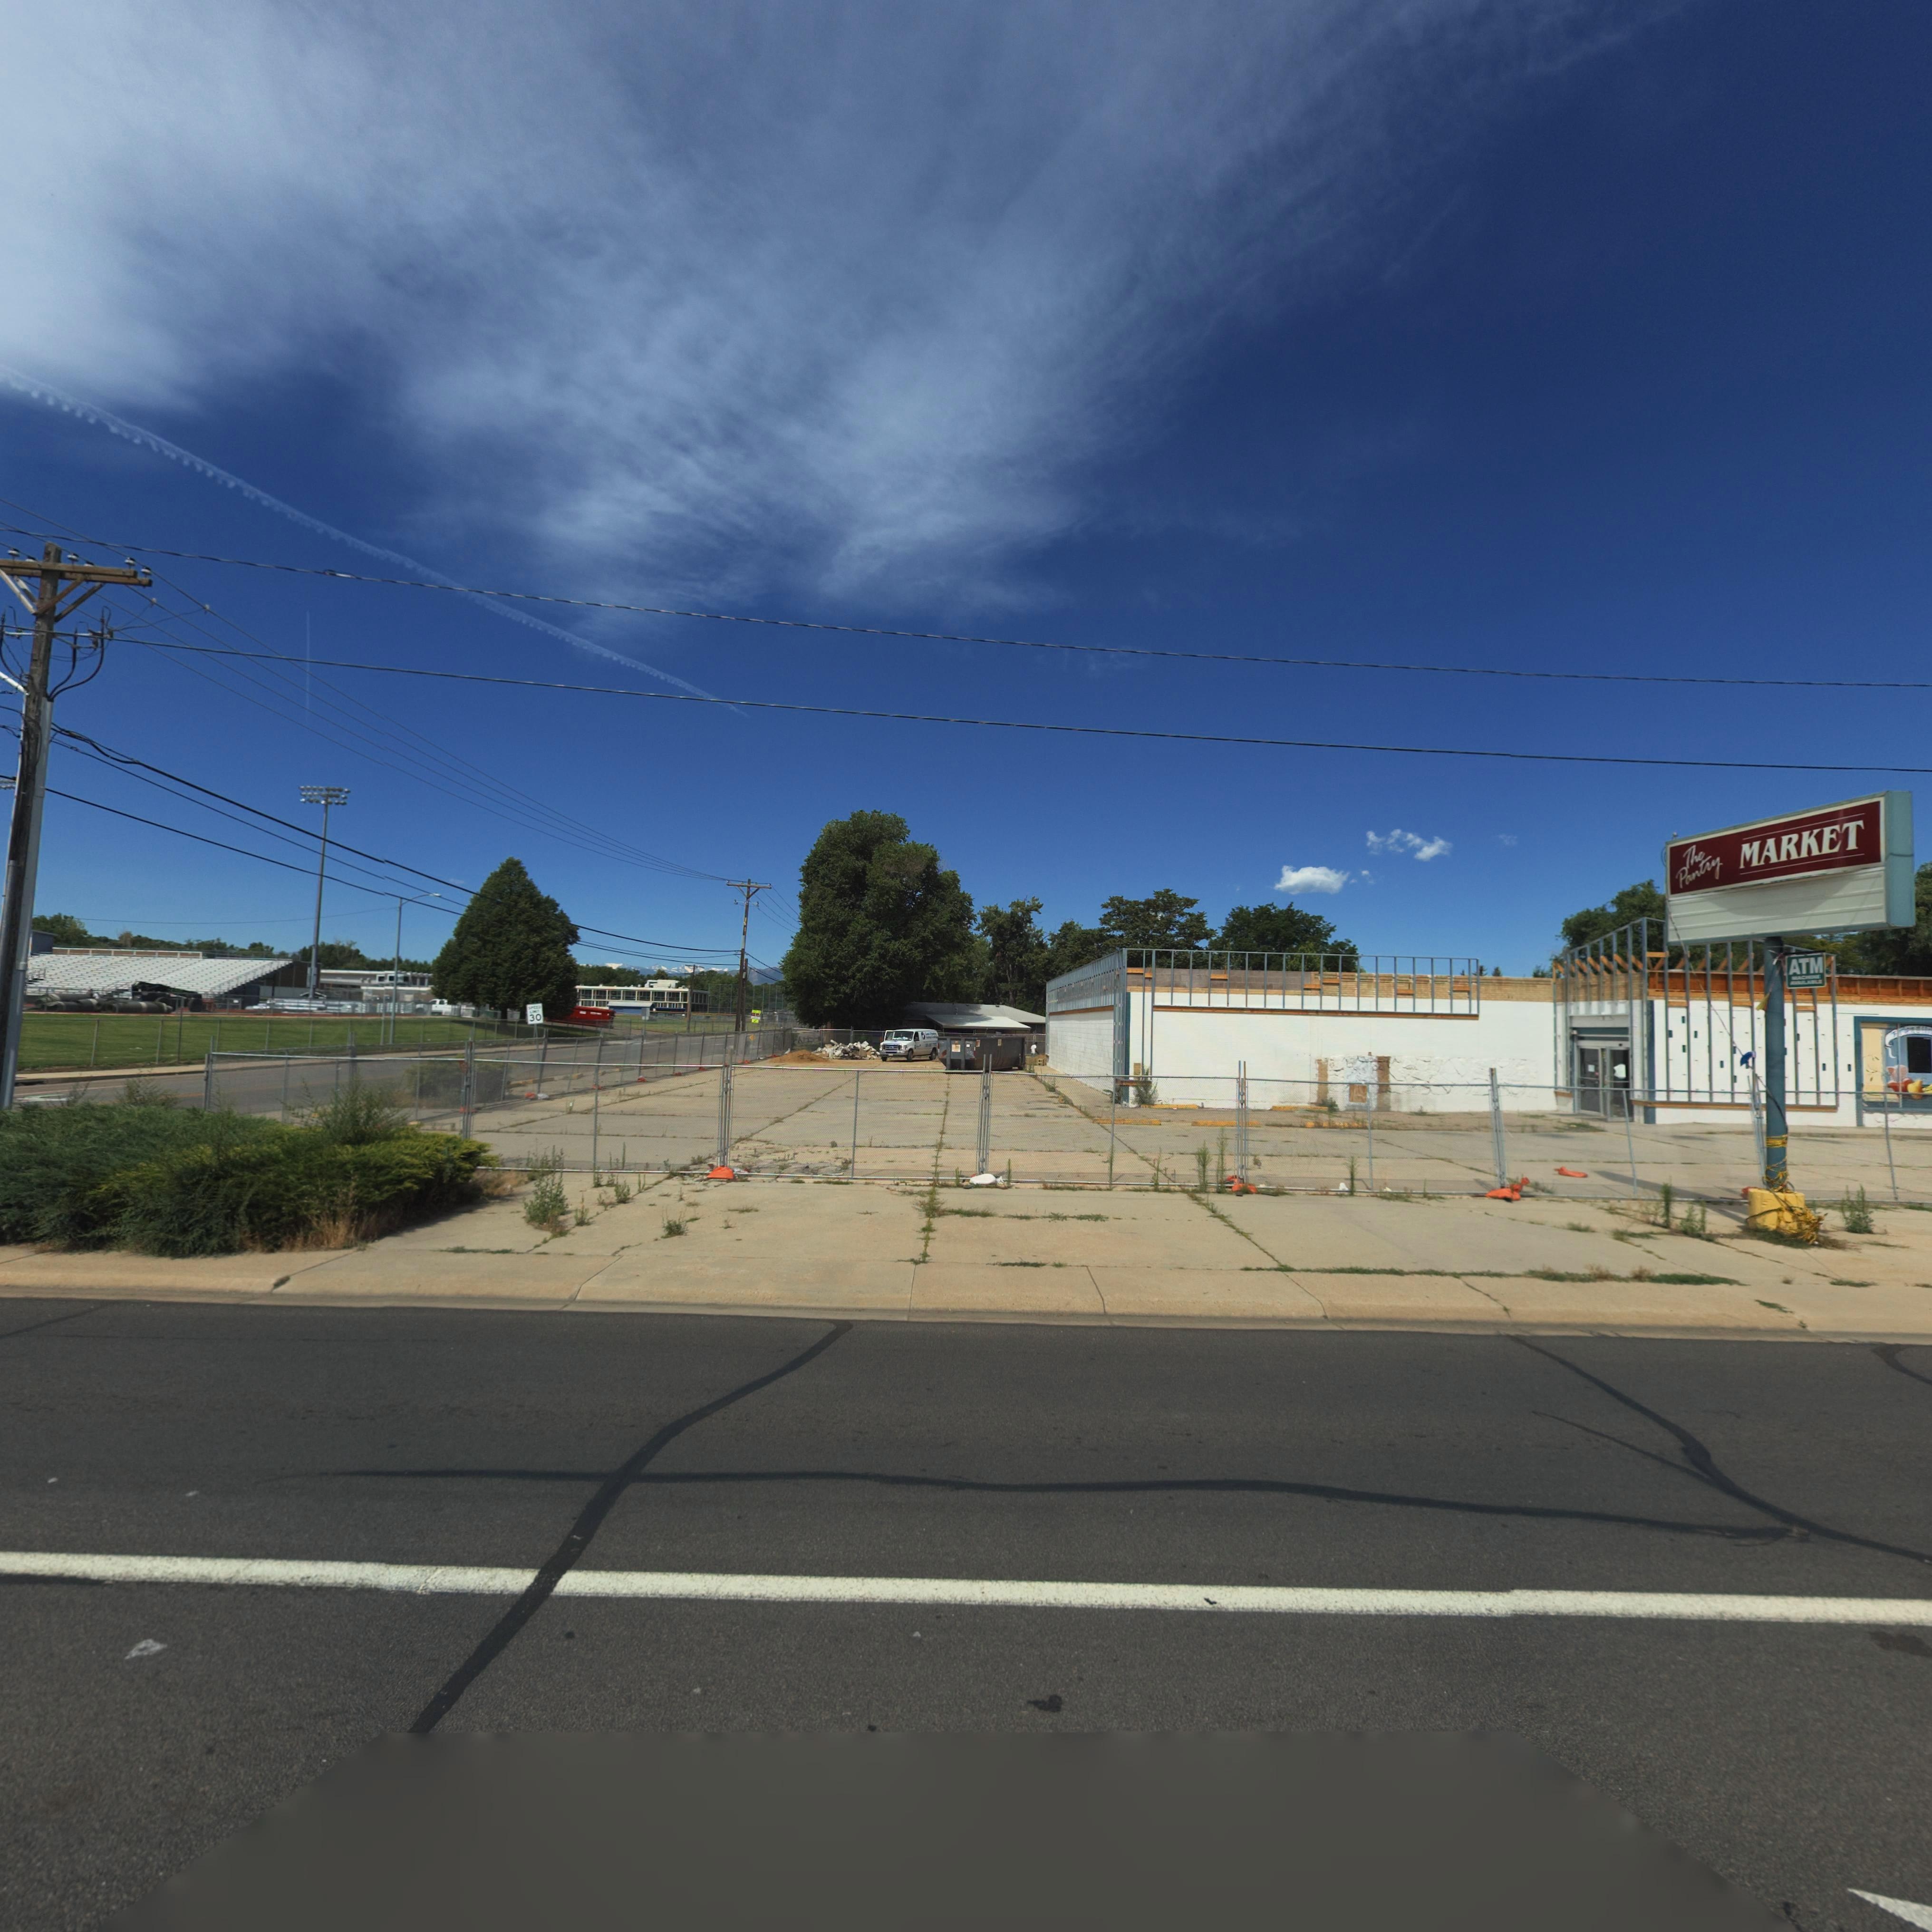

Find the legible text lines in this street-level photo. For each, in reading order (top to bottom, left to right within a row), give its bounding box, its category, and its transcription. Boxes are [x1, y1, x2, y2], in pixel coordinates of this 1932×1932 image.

[1681, 844, 1706, 869] BusinessName: The
[1674, 855, 1724, 889] BusinessName: Pantry
[1738, 819, 1866, 869] BusinessName: MARKET